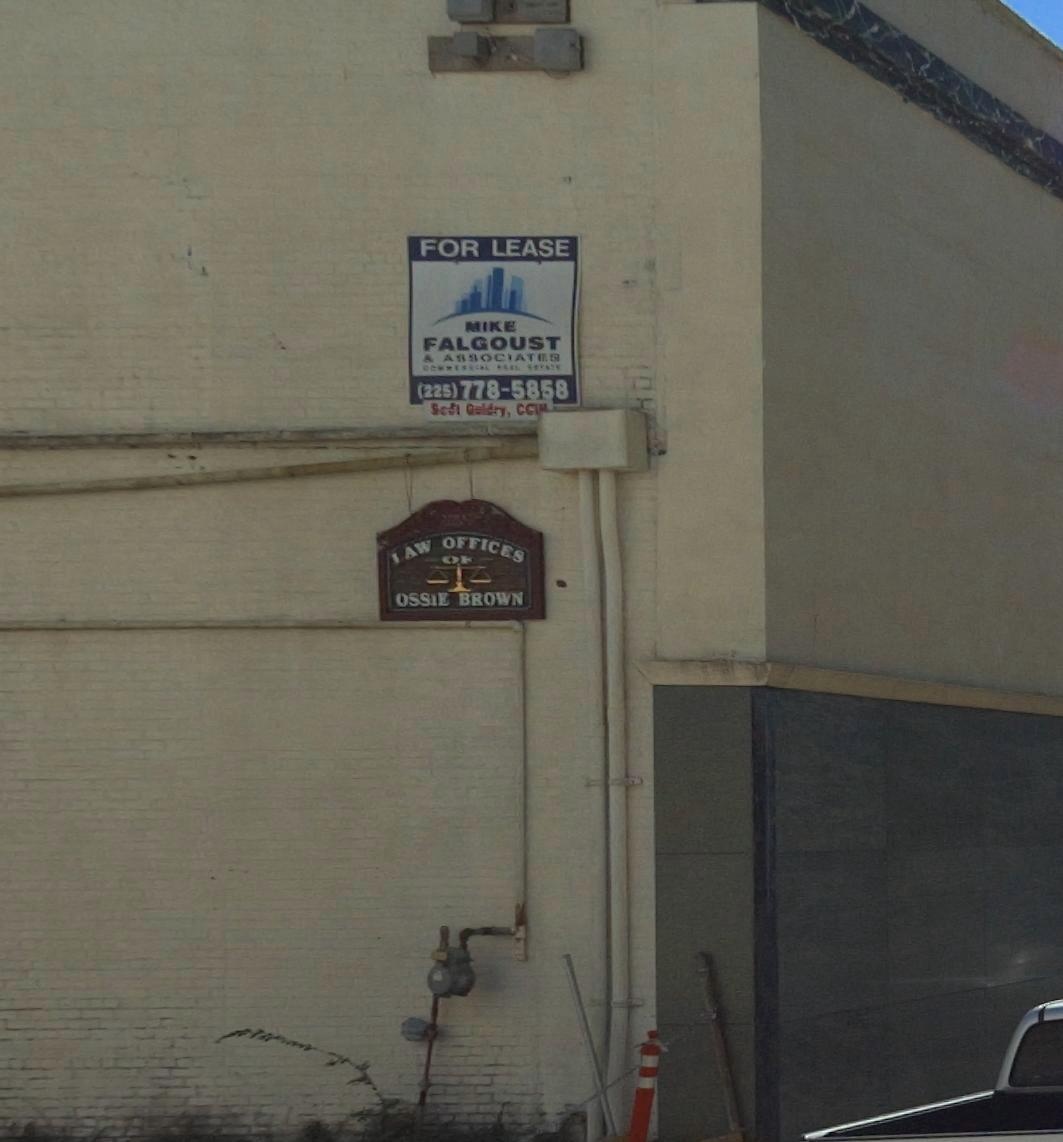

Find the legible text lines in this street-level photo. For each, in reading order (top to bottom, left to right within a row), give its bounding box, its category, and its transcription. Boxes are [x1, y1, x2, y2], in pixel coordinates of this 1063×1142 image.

[416, 236, 574, 260] None: FOR LEASE
[463, 317, 518, 336] None: *IKE
[421, 333, 564, 355] None: FALGOUST
[439, 349, 563, 365] None: ASSOCIATES
[414, 376, 573, 404] None: (225)778-5858
[437, 552, 476, 568] BusinessName: OF
[388, 534, 528, 569] BusinessName: LAW OFFICE
[392, 589, 527, 610] BusinessName: OSSIE BROWN